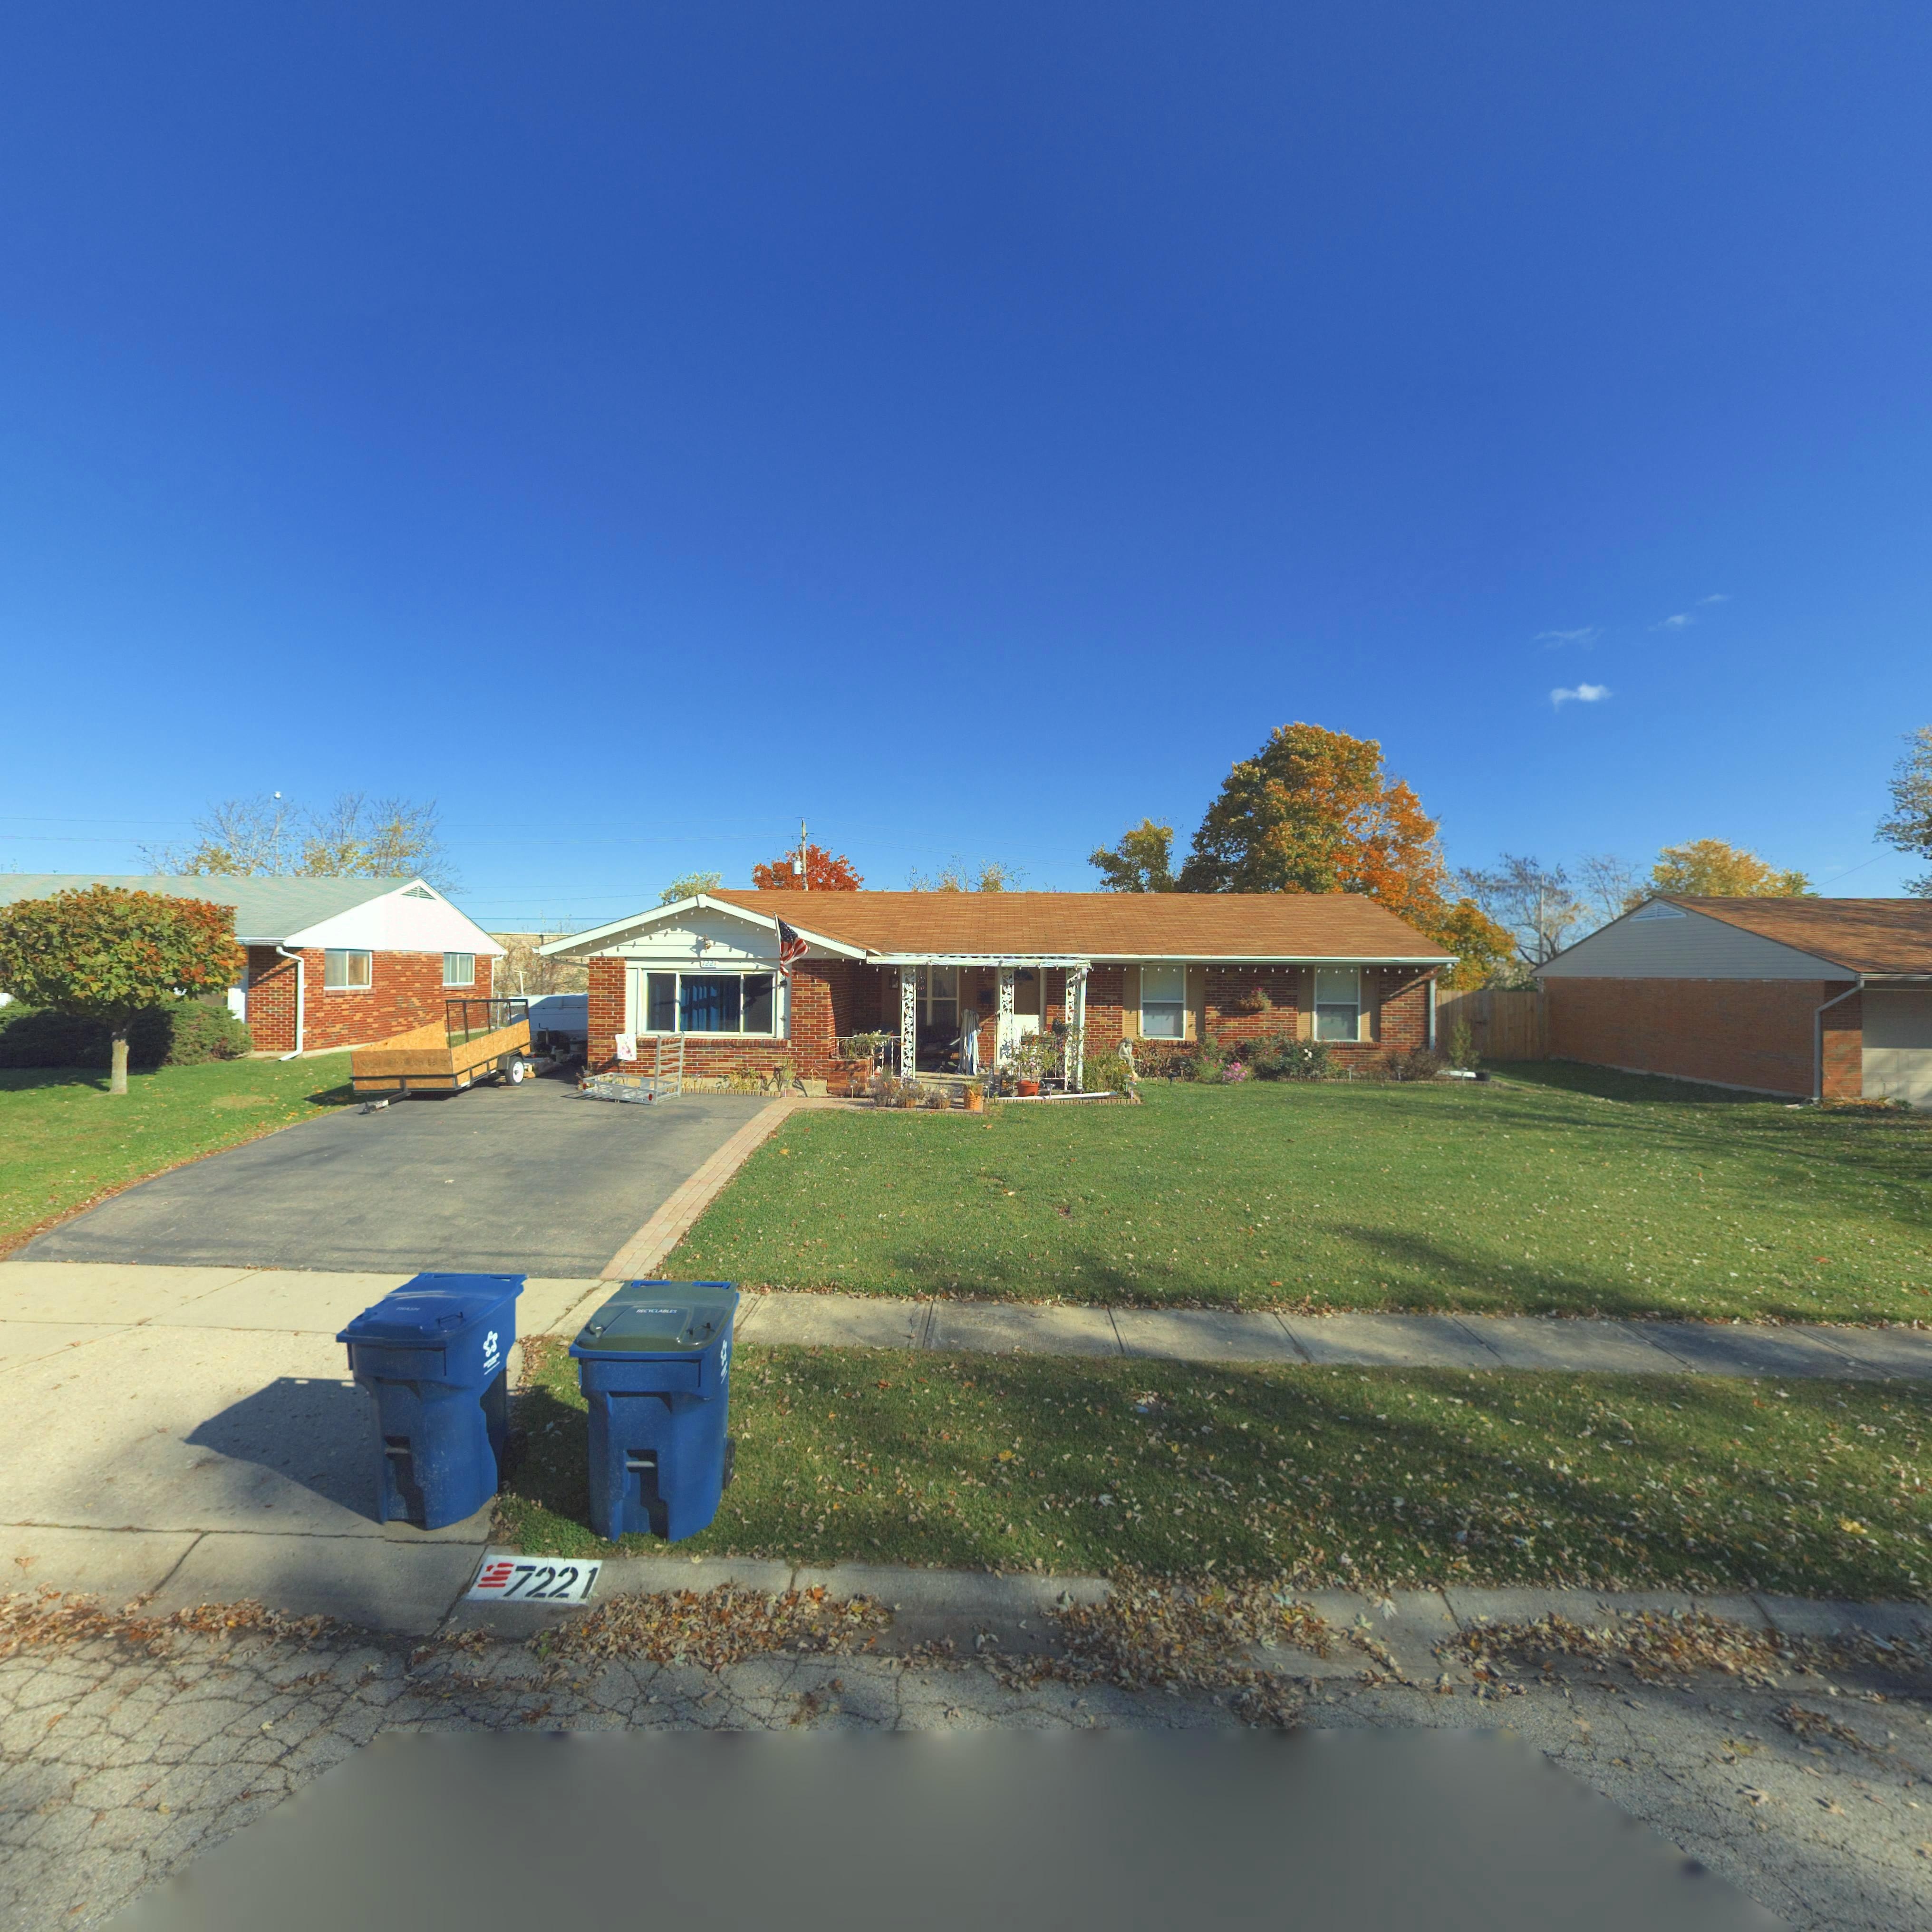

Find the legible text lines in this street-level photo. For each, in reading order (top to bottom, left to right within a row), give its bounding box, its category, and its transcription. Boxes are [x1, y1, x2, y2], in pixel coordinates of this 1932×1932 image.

[701, 959, 717, 967] StreetNumber: 7221
[501, 1563, 600, 1601] StreetNumber: 7221